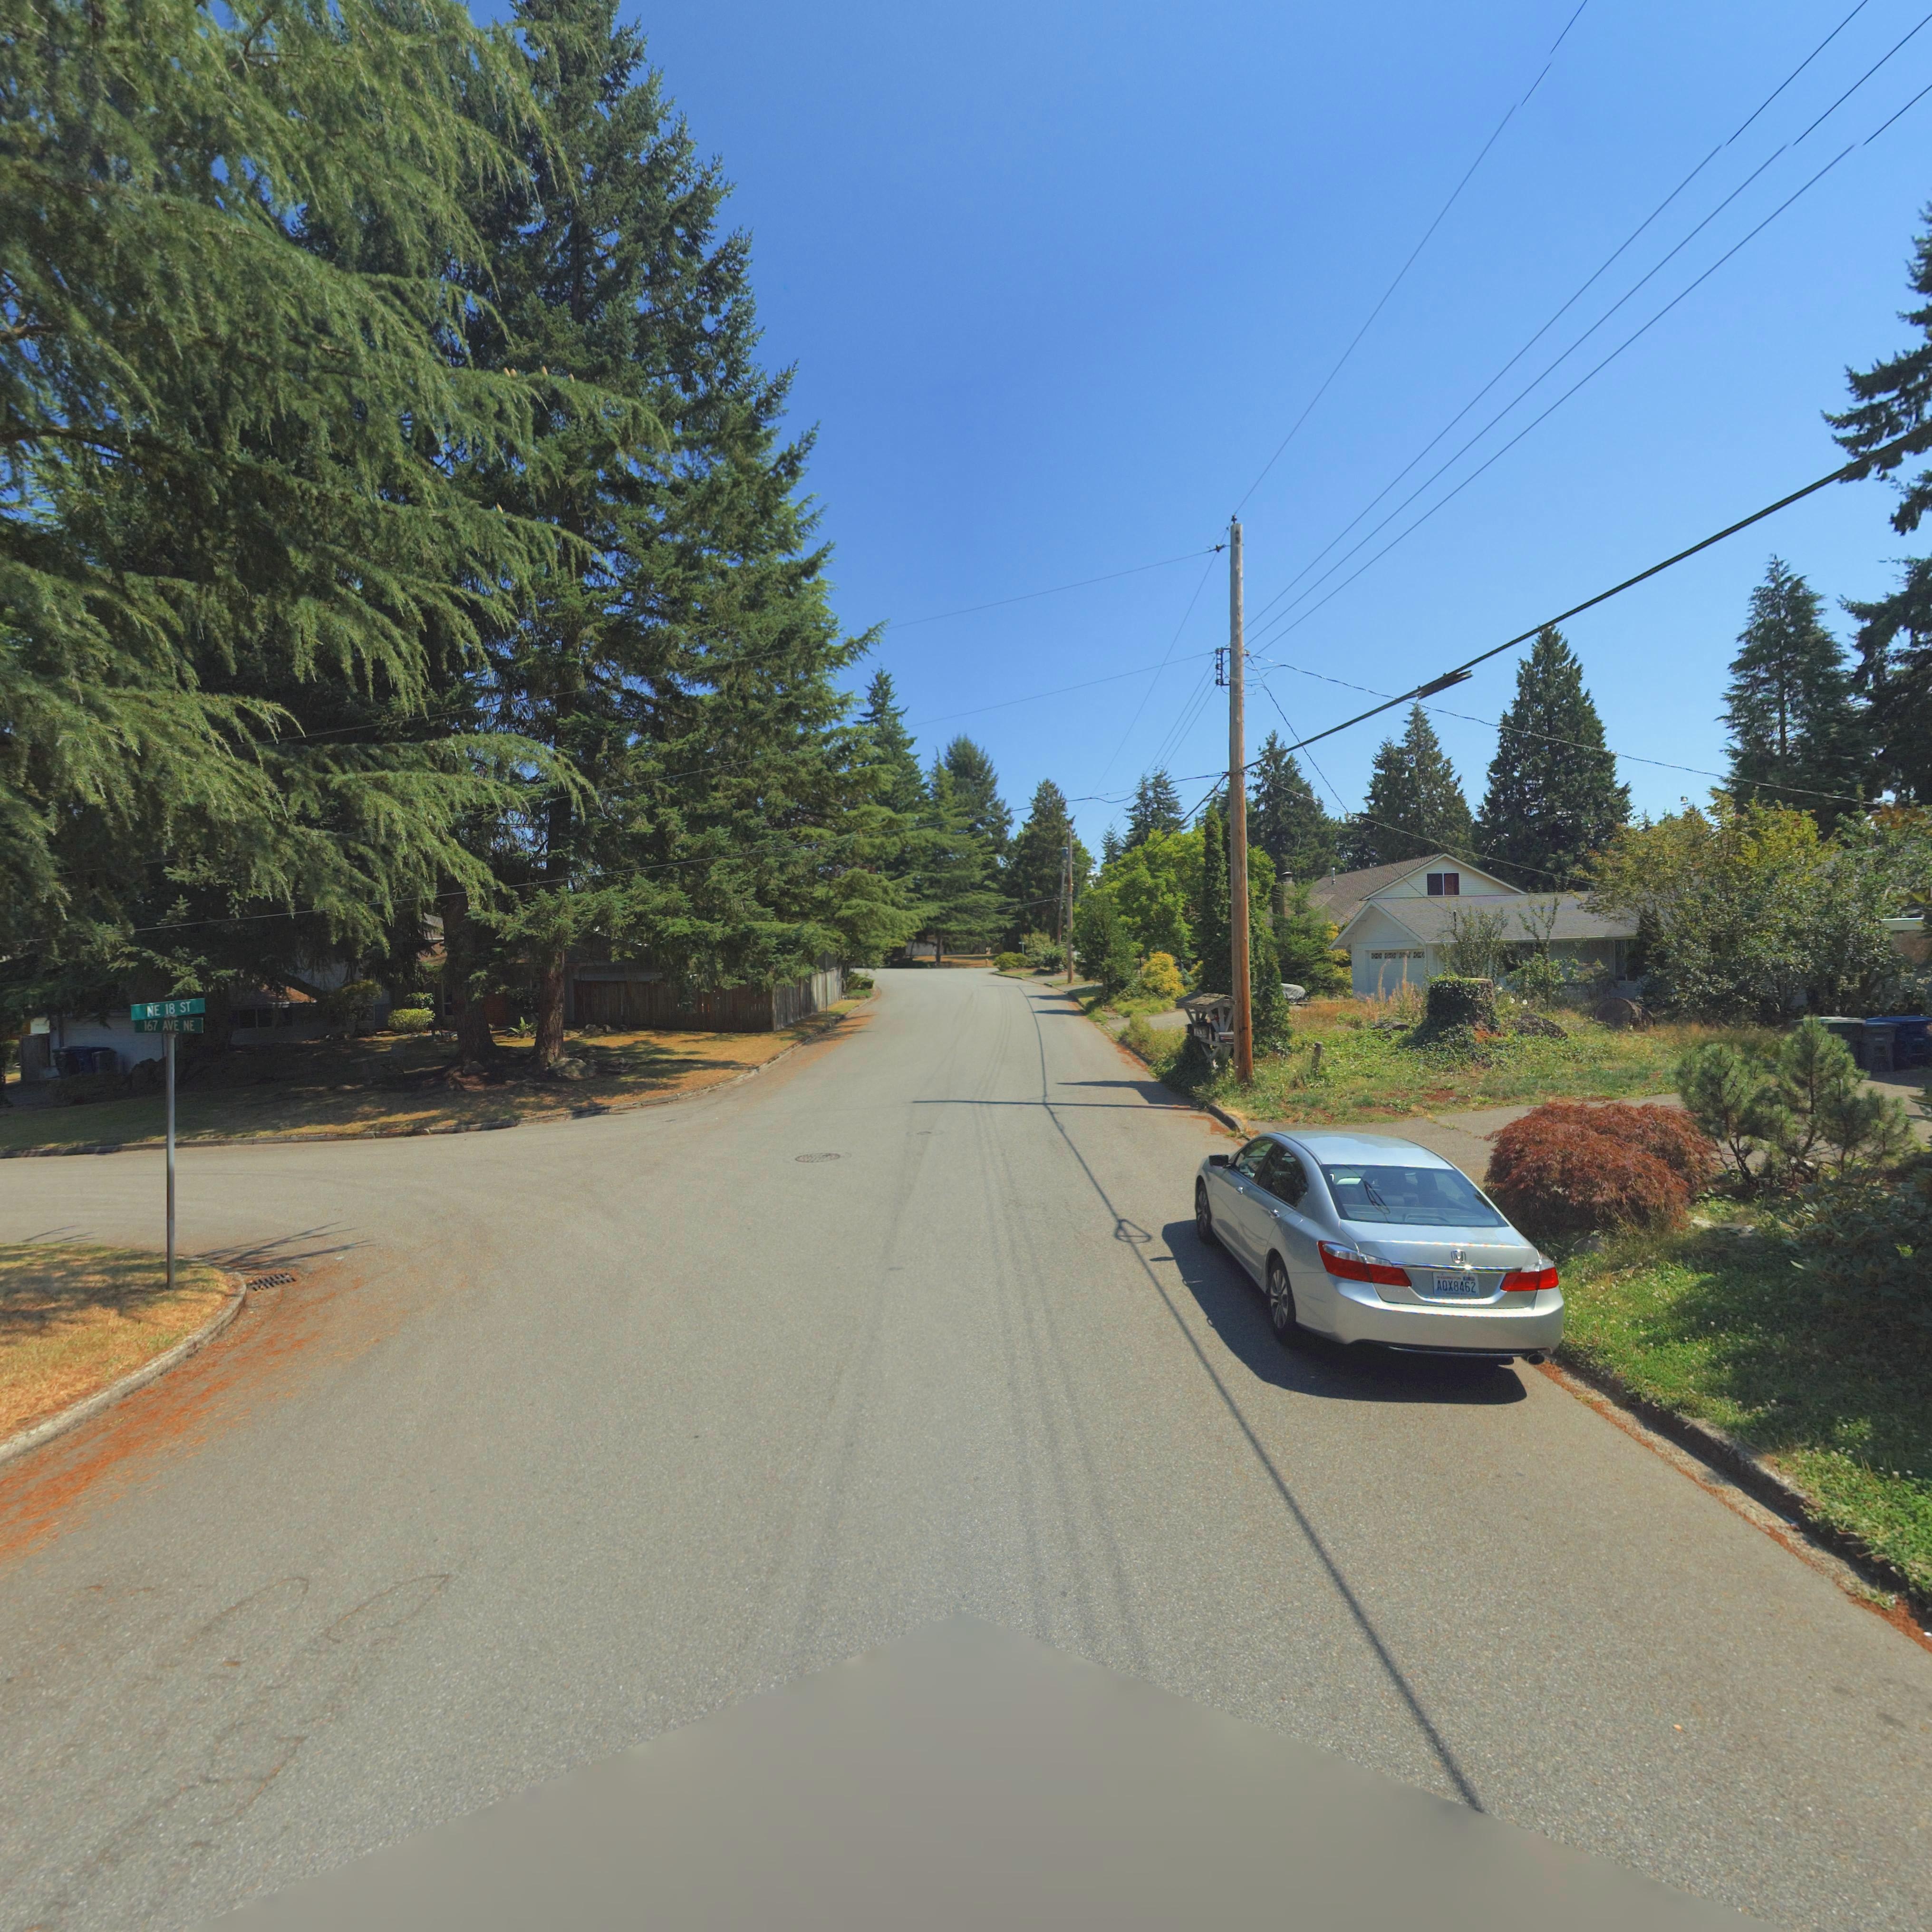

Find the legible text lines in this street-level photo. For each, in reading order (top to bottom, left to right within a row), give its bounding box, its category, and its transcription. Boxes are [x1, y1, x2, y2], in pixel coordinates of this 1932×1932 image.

[146, 1000, 191, 1017] StreetName: NE 18 ST
[143, 1020, 194, 1031] StreetName: 167 AVE NE